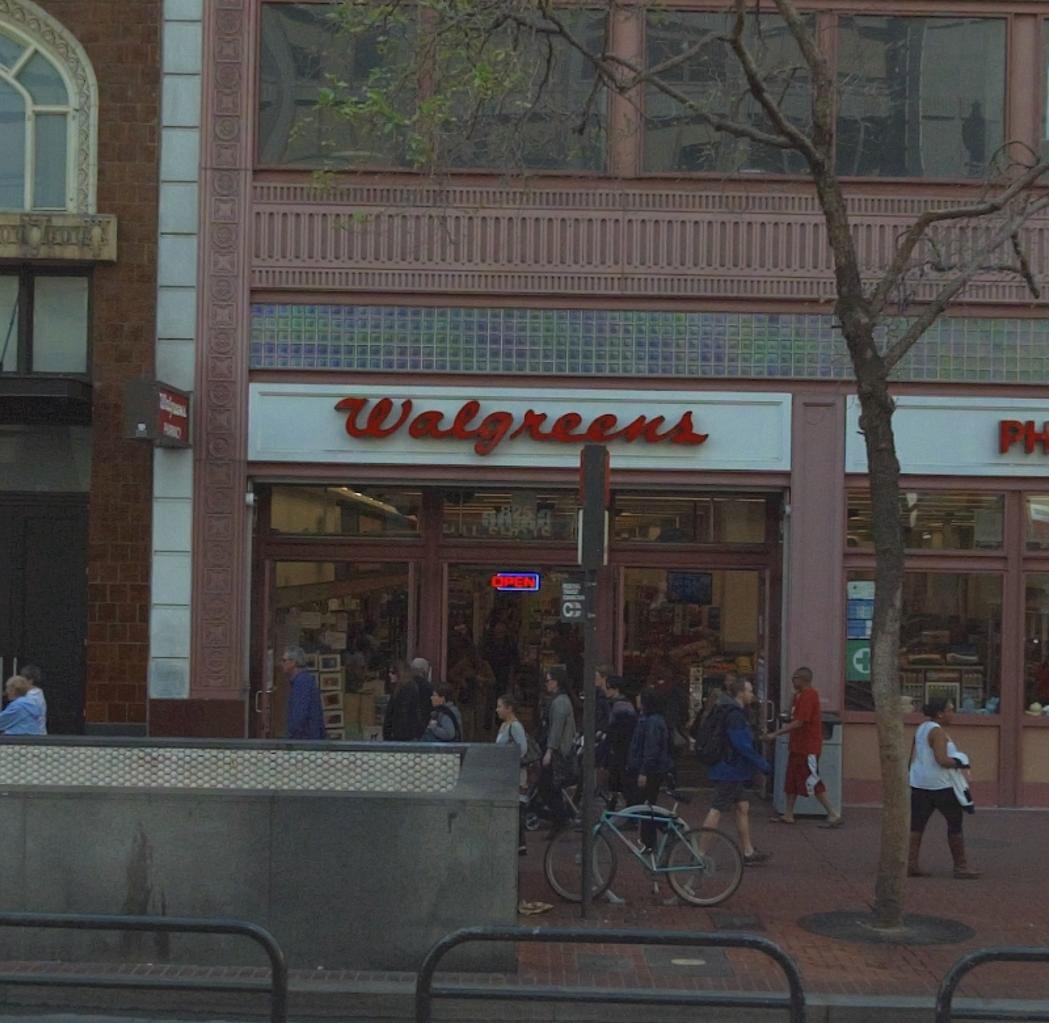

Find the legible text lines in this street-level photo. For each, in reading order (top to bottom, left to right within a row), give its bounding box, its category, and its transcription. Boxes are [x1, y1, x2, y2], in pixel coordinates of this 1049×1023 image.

[332, 387, 719, 464] BusinessName: Walgreens
[994, 416, 1032, 461] None: P
[496, 501, 535, 523] StreetNumber: 825
[488, 571, 540, 592] None: OPEN